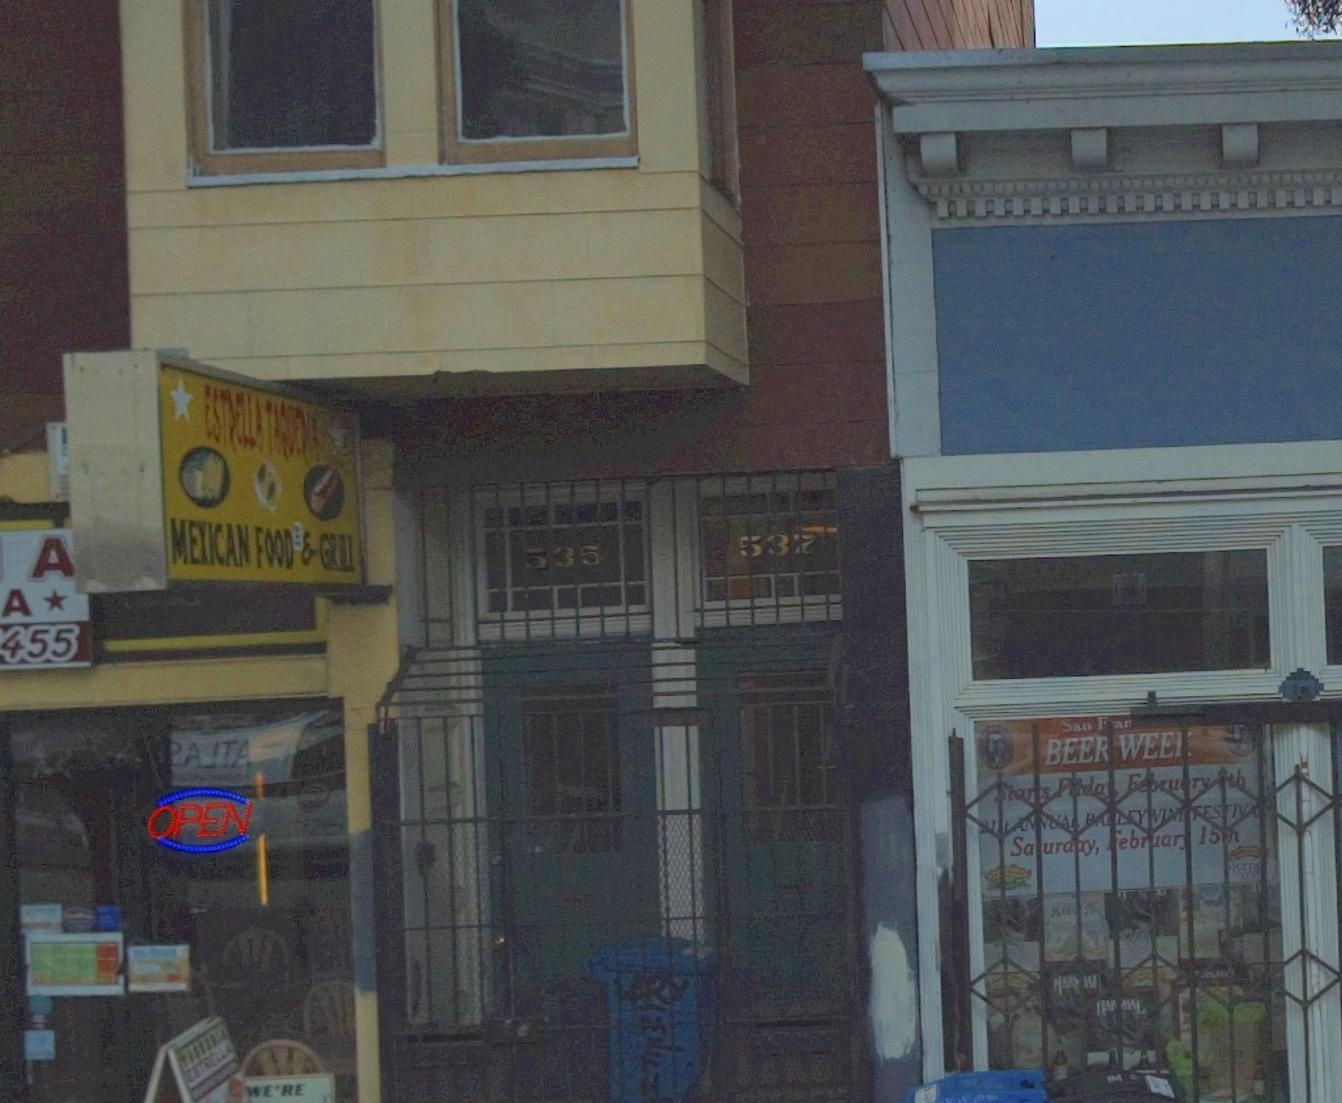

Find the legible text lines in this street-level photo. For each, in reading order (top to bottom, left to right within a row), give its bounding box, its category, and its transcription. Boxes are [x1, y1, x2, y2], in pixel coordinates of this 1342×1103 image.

[21, 529, 84, 587] None: A
[165, 512, 359, 575] None: MEXICAN FOOD & GRILL
[523, 541, 603, 575] StreetNumber: 535
[736, 532, 822, 560] StreetNumber: 537
[0, 584, 36, 619] None: A
[0, 625, 80, 662] None: 455
[1058, 713, 1126, 736] None: San F*a
[176, 734, 257, 772] None: AITA
[1040, 727, 1198, 769] None: BEE* WEE*
[1167, 776, 1182, 793] None: u
[141, 797, 259, 844] None: OPEN
[1135, 806, 1150, 825] None: Y
[1209, 801, 1225, 821] None: S
[1227, 800, 1244, 820] None: I
[1006, 833, 1037, 859] None: Sa
[1040, 832, 1076, 858] None: urd
[1080, 836, 1099, 858] None: y
[1117, 827, 1152, 852] None: ebr
[1157, 830, 1186, 851] None: or
[1194, 822, 1210, 848] None: 1
[241, 1079, 309, 1101] None: WE'RE